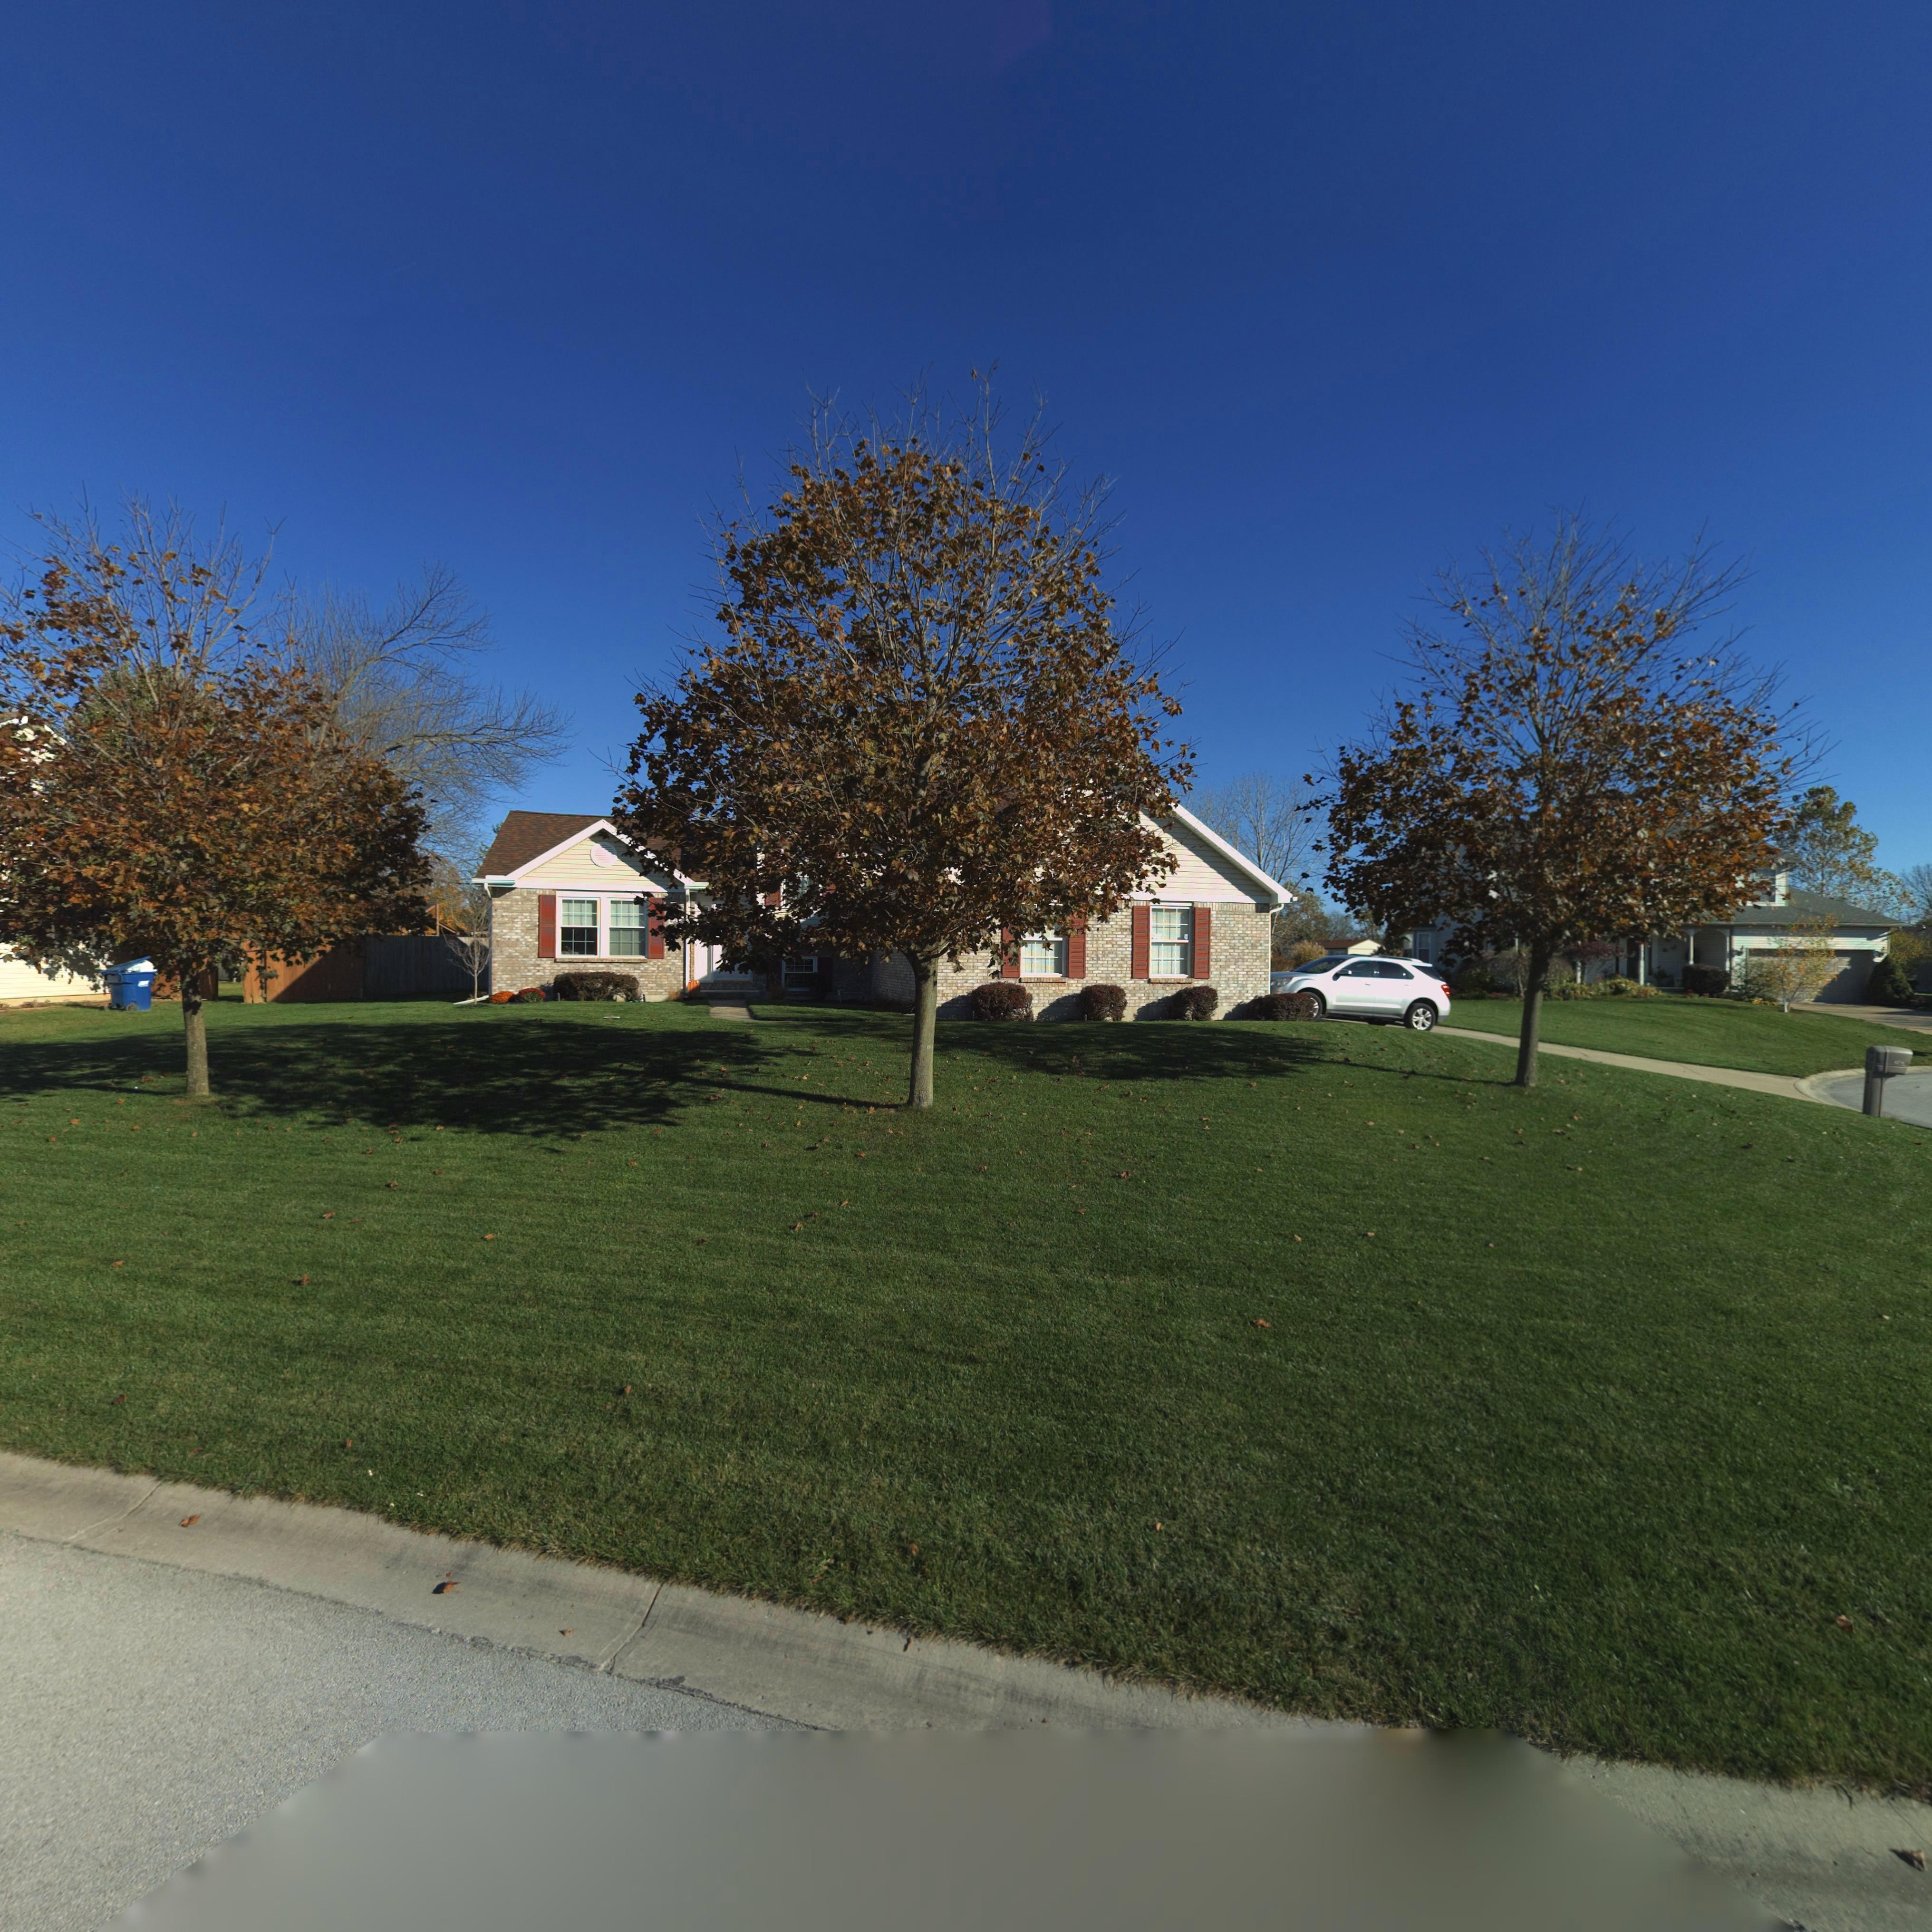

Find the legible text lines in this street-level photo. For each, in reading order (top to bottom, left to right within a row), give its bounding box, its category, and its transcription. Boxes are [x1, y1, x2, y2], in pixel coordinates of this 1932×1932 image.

[1893, 1060, 1905, 1065] StreetNumber: **77